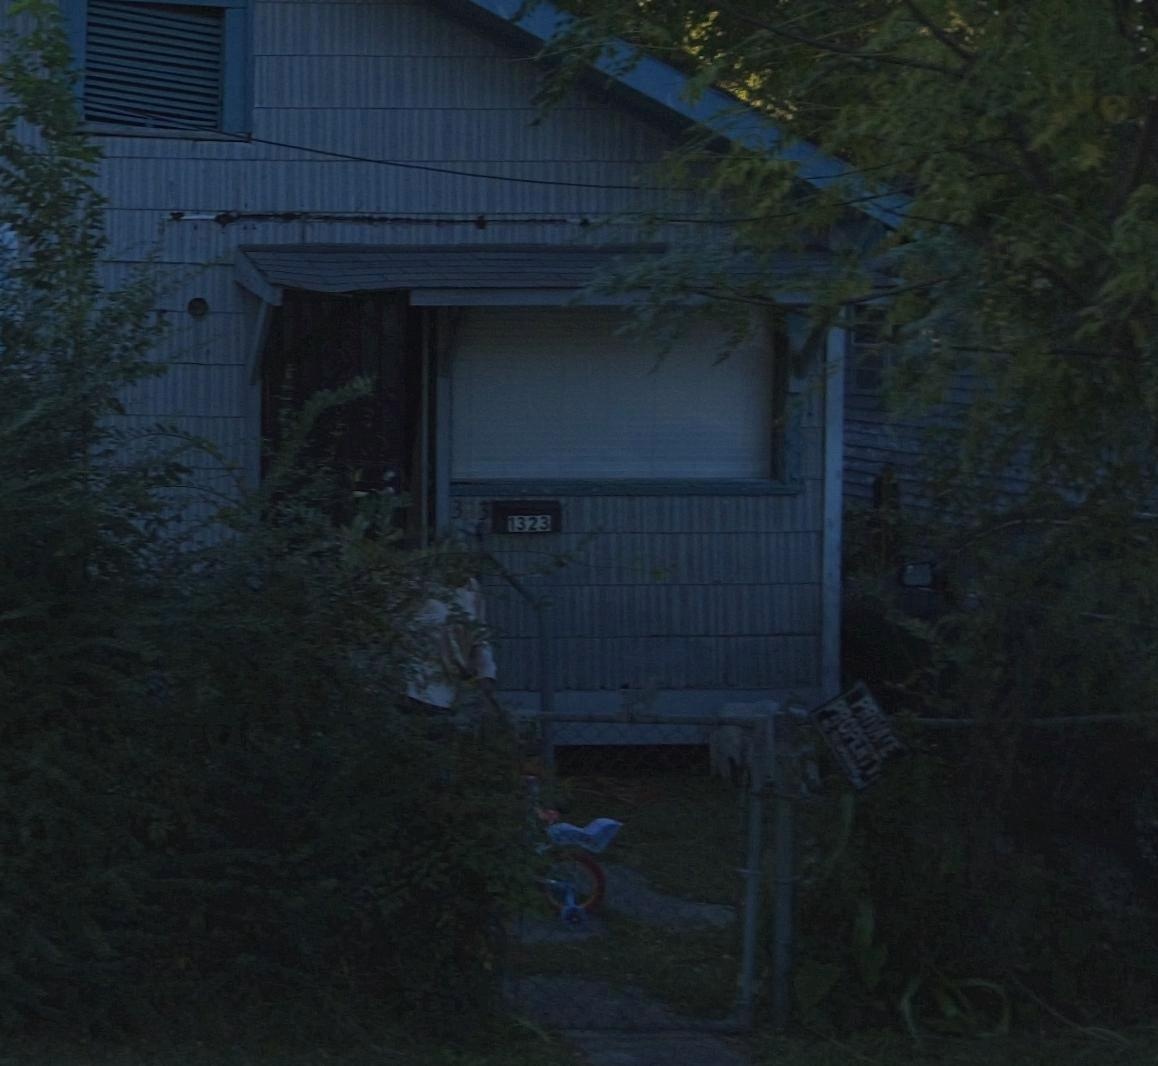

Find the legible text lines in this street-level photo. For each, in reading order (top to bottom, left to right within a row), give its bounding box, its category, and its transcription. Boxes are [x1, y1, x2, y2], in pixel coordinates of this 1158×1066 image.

[476, 497, 491, 523] None: 3
[507, 513, 552, 533] StreetNumber: 1323
[818, 695, 890, 782] None: PROPERTY
[845, 690, 908, 764] None: PRIVATE